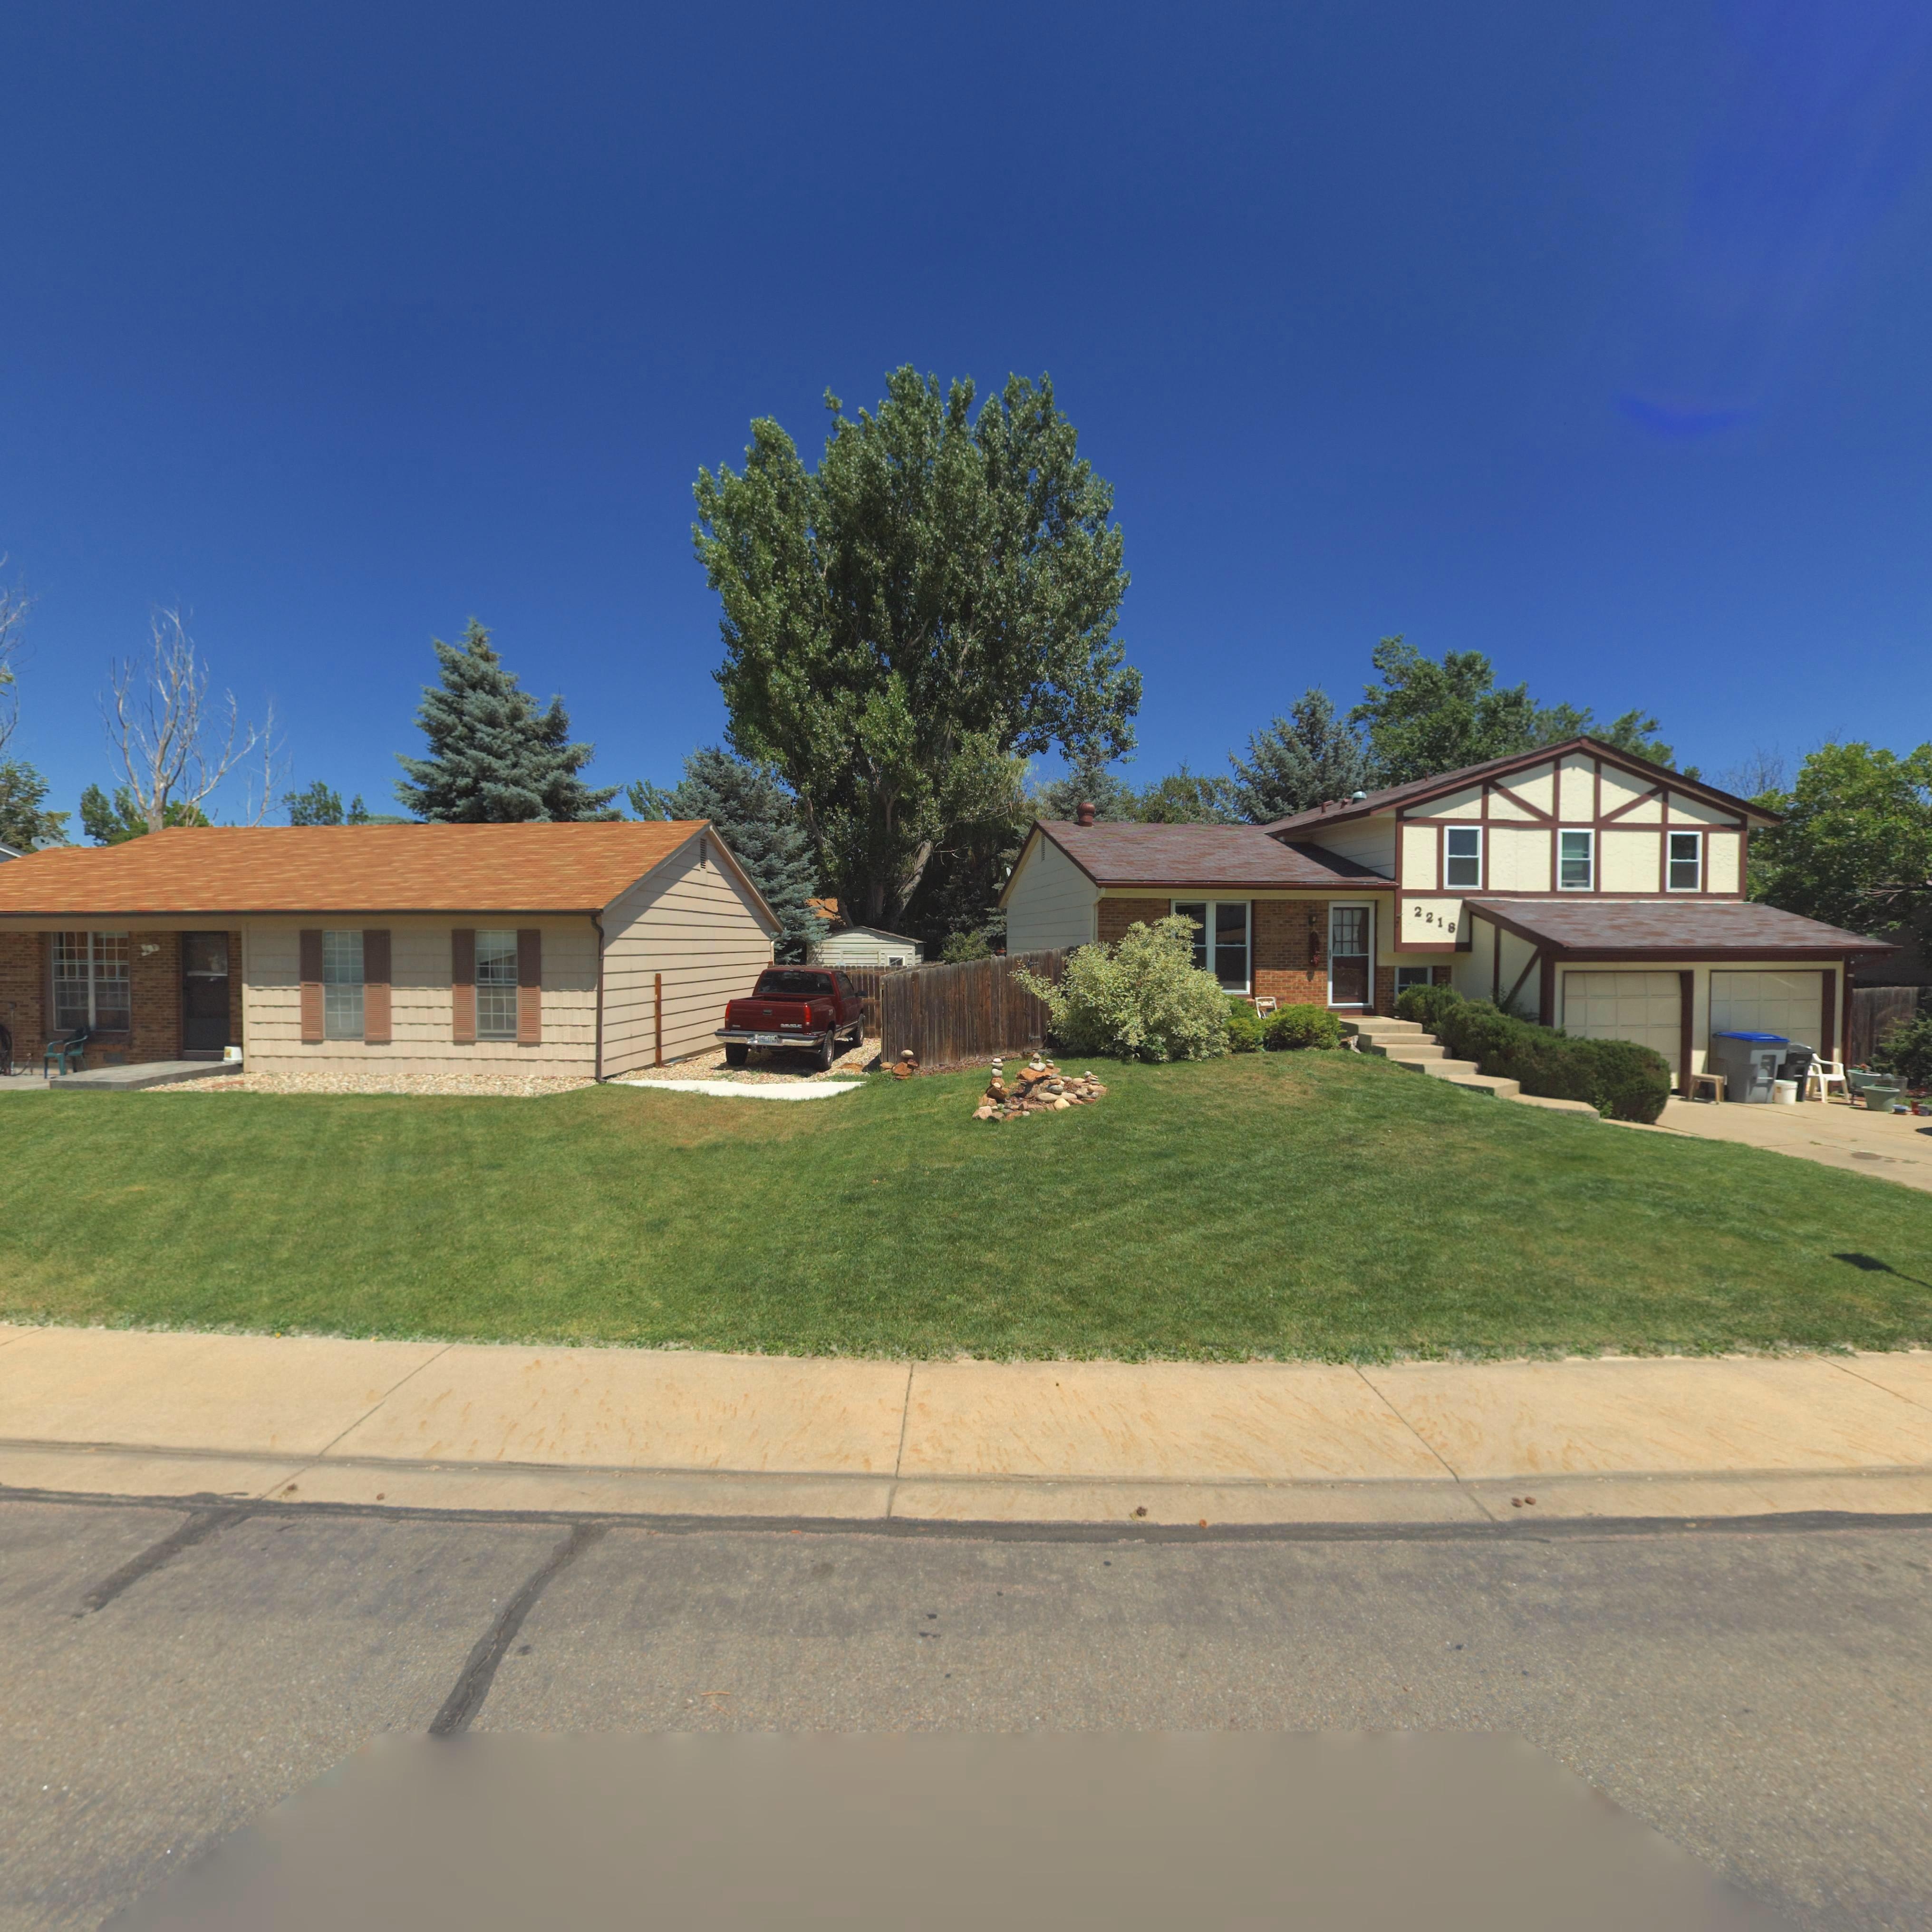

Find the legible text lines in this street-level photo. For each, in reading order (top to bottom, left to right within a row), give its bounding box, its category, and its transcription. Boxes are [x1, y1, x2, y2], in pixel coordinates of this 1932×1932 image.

[1413, 905, 1457, 935] StreetNumber: 2218